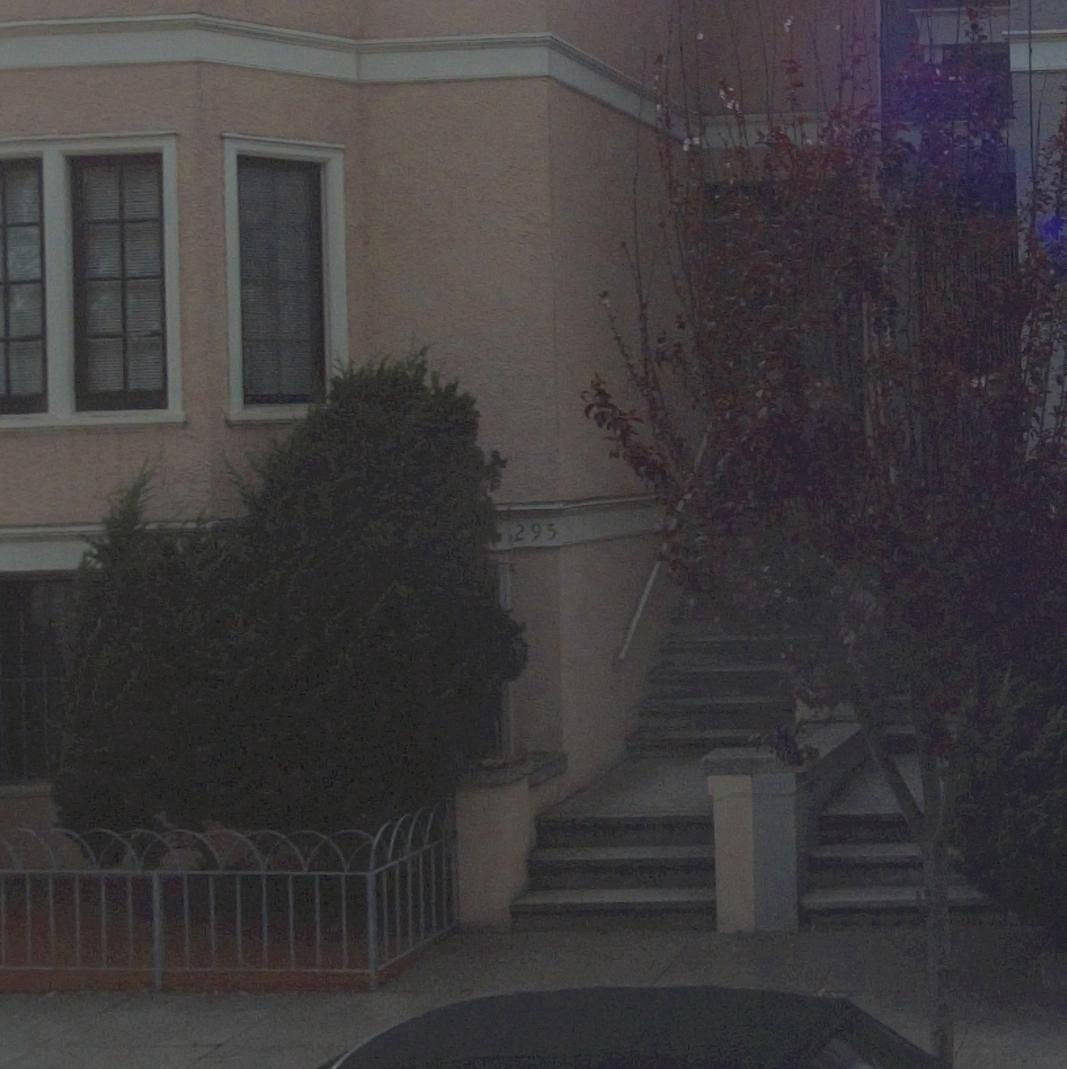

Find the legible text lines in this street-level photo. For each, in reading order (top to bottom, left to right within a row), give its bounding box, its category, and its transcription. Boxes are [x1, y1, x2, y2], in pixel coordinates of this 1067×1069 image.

[512, 522, 557, 543] StreetNumber: 295